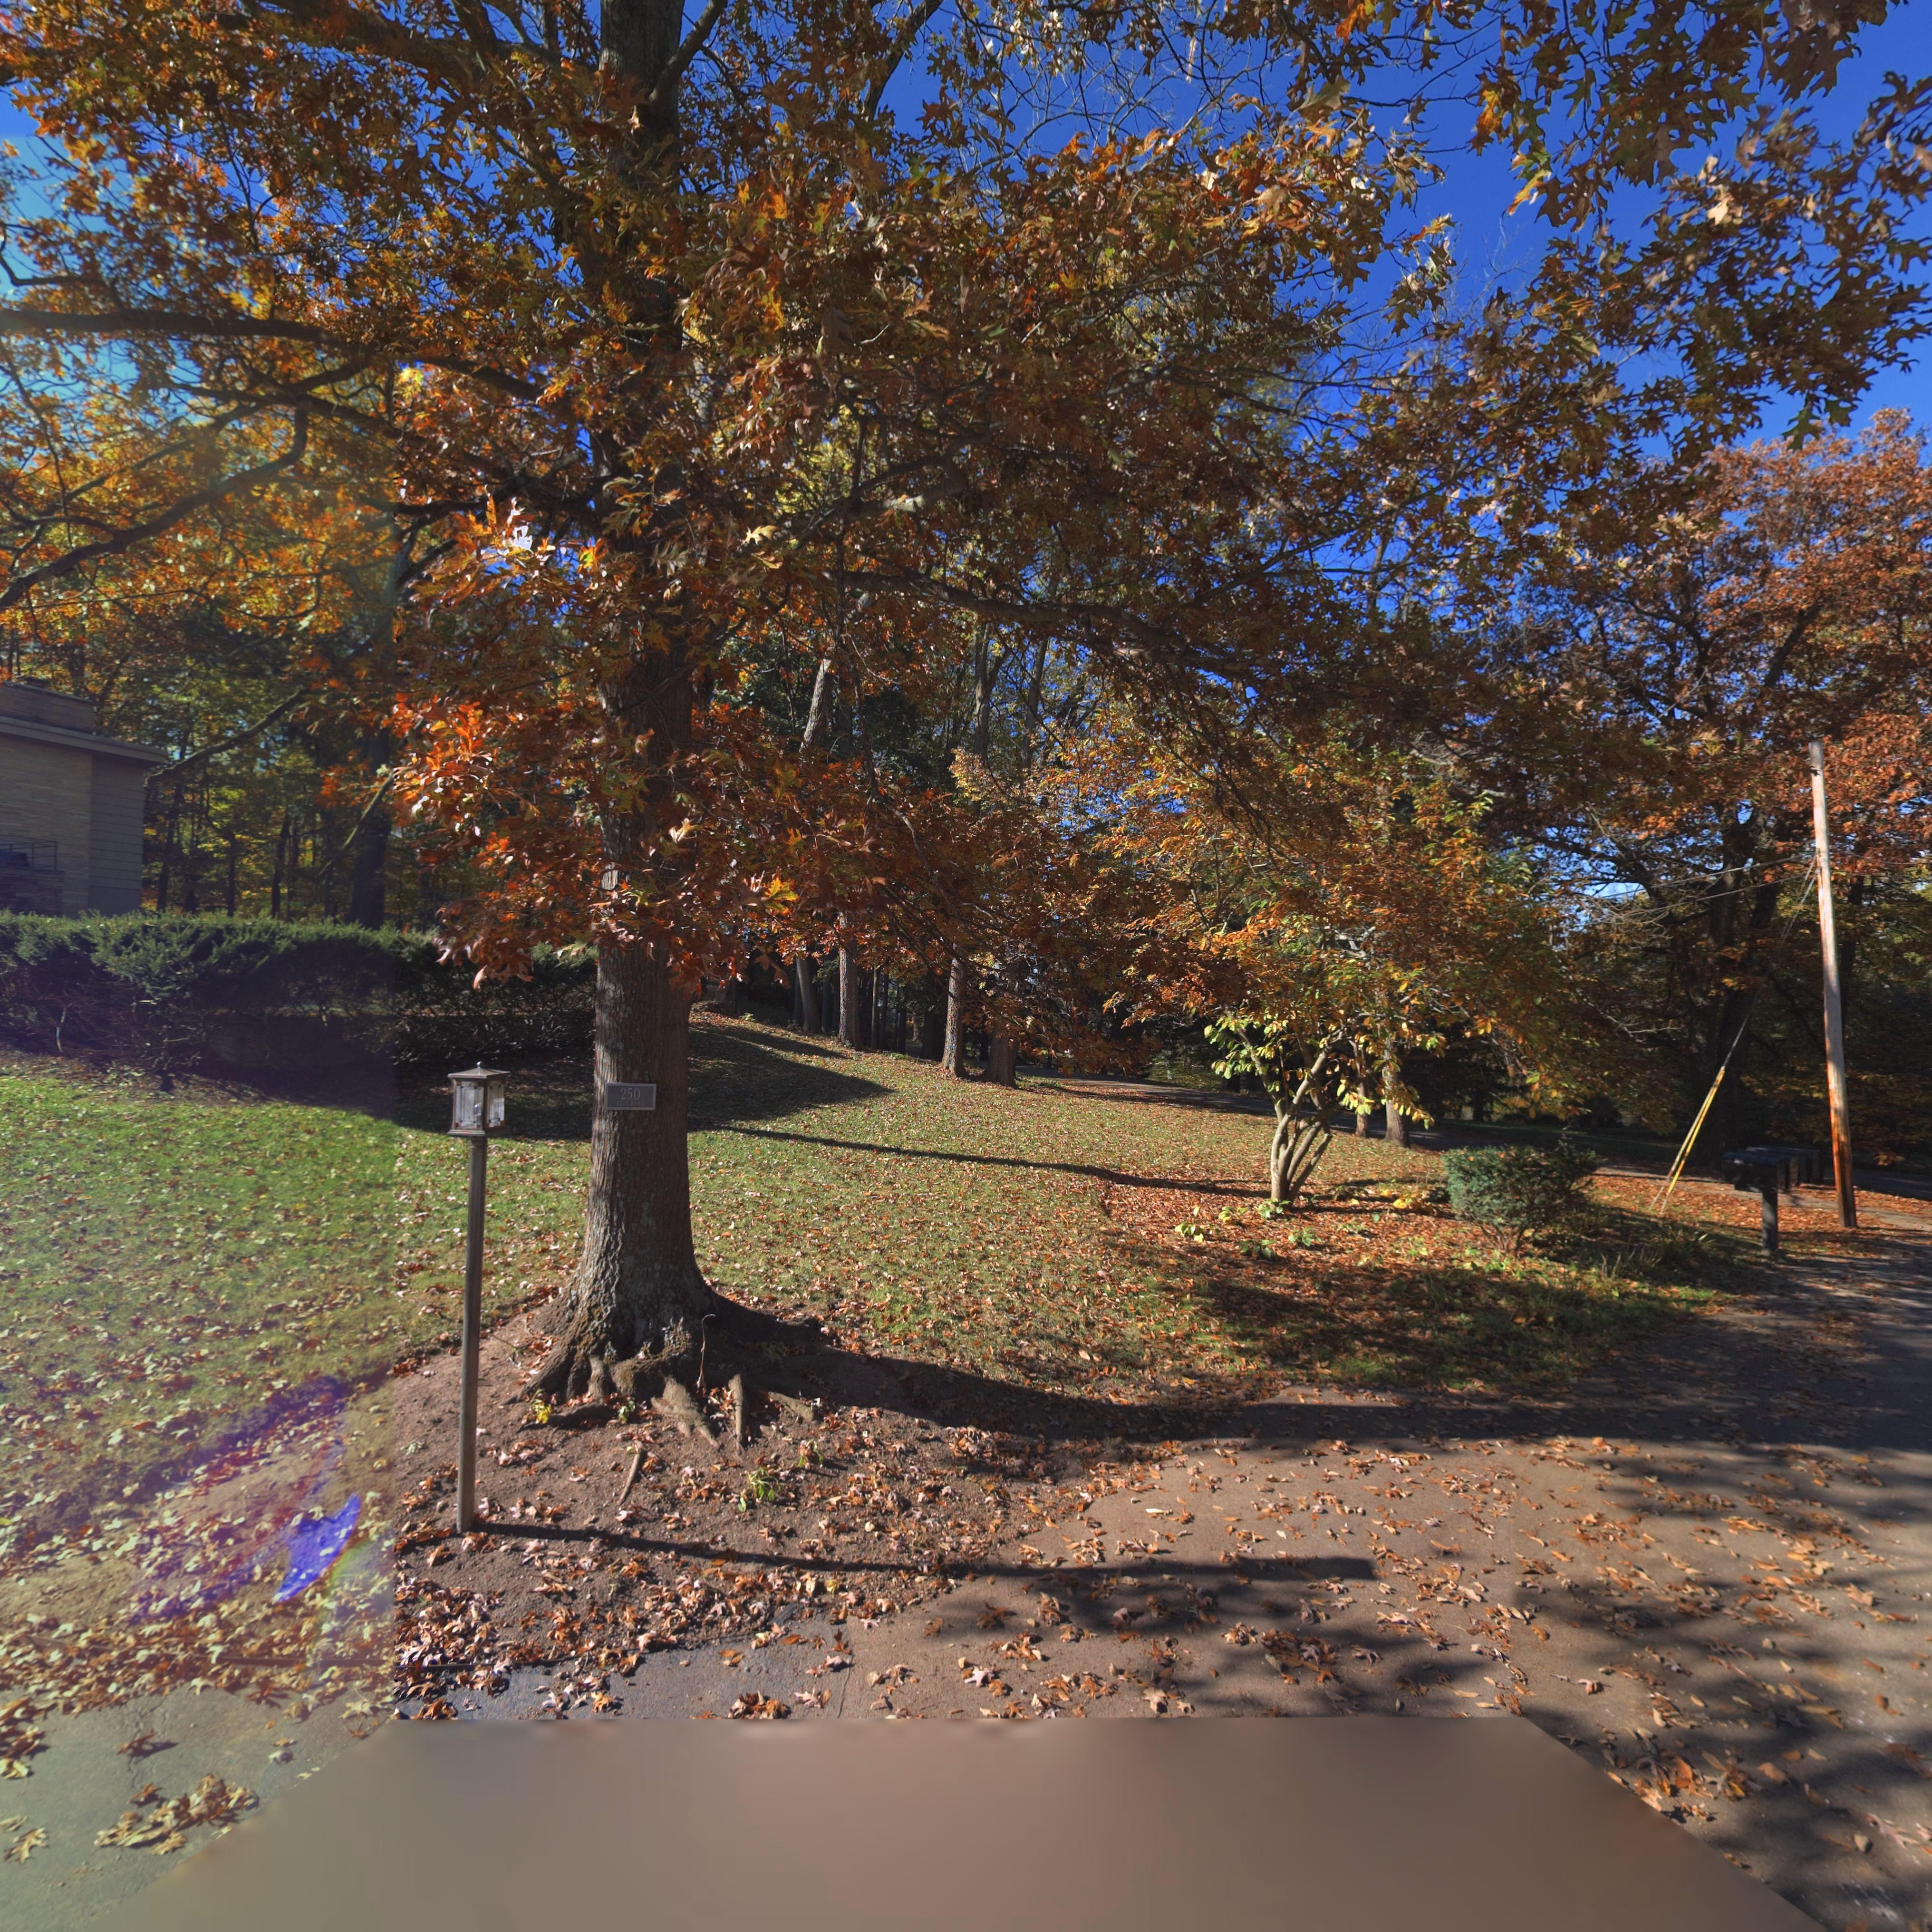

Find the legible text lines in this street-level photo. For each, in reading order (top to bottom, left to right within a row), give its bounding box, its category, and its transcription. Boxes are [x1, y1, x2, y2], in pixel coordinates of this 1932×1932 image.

[619, 1086, 642, 1101] StreetNumber: 250